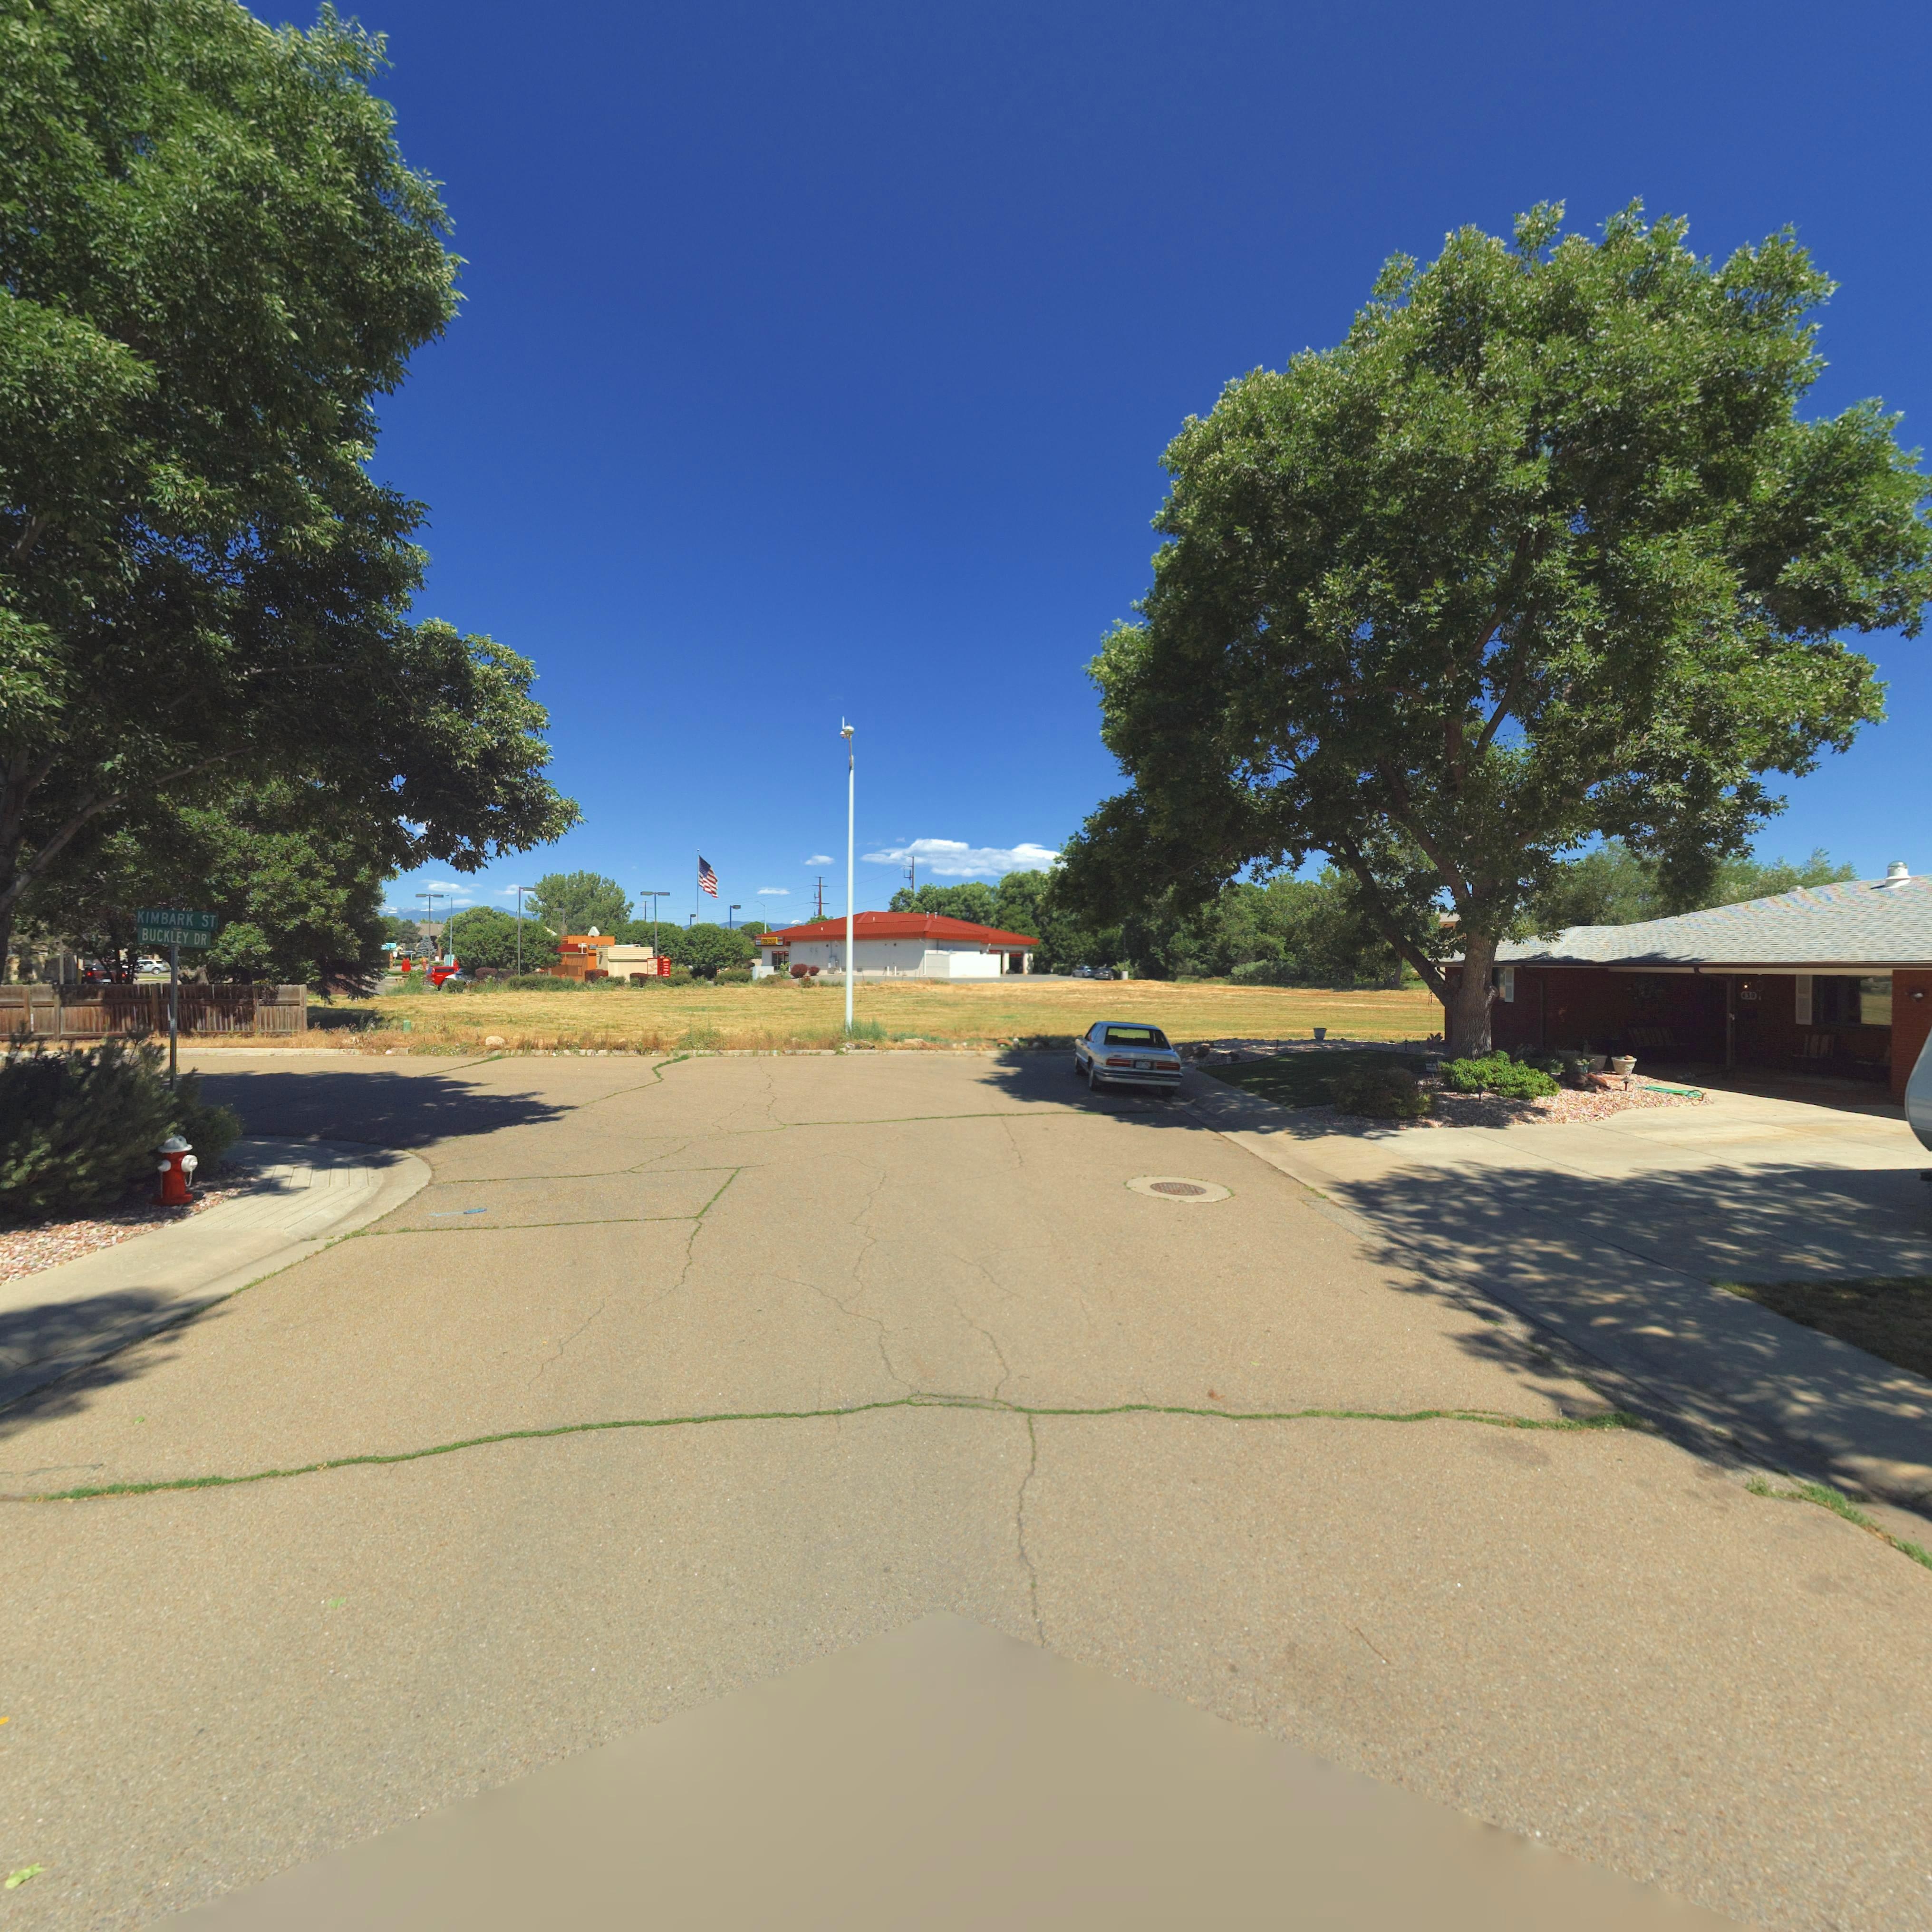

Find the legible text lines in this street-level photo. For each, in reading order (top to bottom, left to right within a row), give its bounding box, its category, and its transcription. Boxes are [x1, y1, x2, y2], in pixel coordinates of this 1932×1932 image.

[137, 910, 217, 927] BusinessName: KIMBARK ST
[141, 927, 207, 946] StreetName: BUCKLEY DR
[1742, 992, 1756, 999] StreetNumber: 430